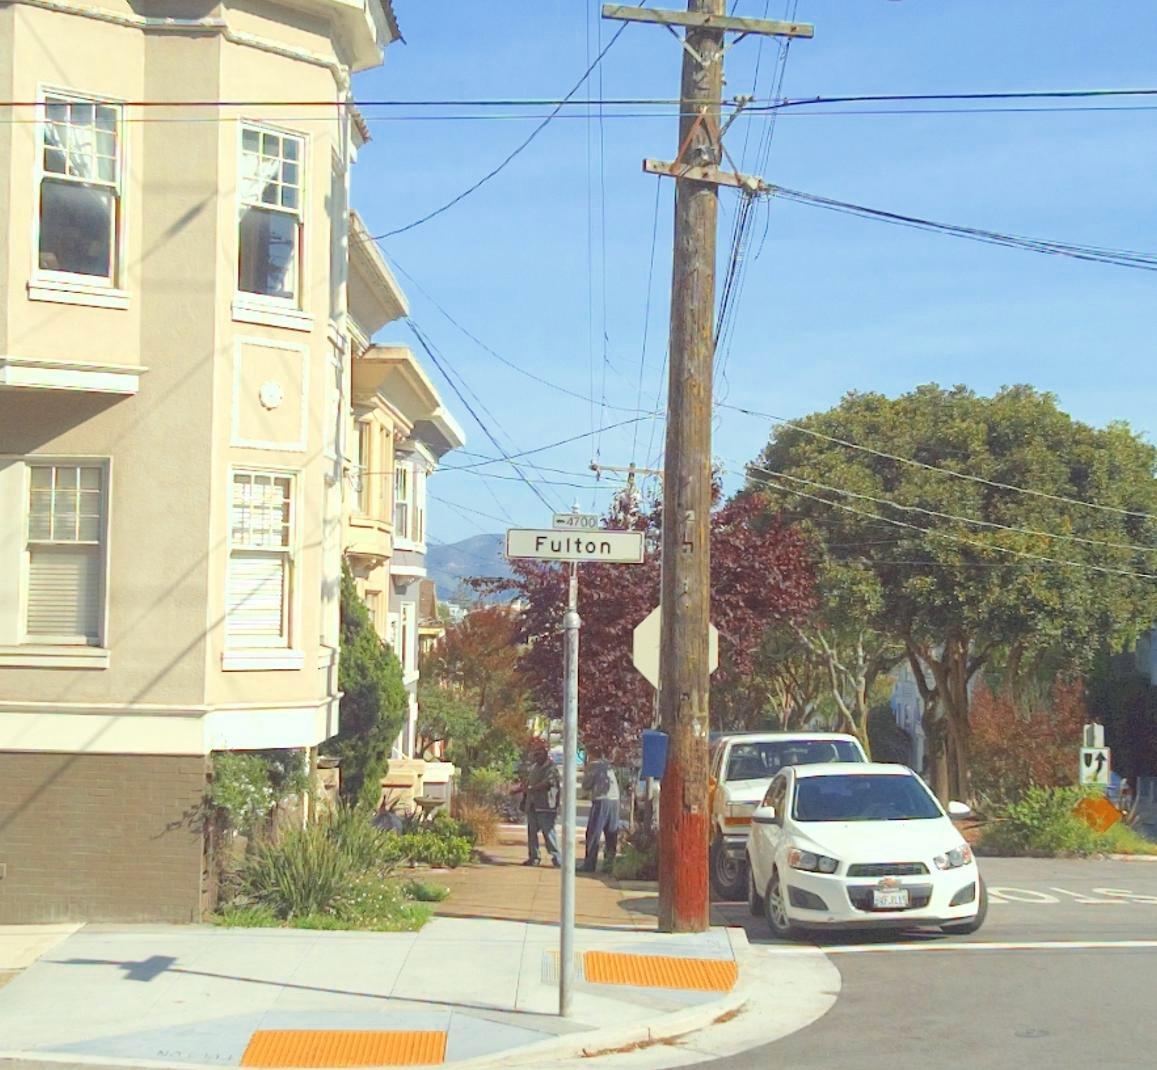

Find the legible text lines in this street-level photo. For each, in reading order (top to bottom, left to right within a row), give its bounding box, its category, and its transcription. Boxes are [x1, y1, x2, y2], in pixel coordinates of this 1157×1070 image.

[553, 513, 596, 530] StreetNumberRange: <-4700
[533, 534, 613, 556] StreetName: FULTON